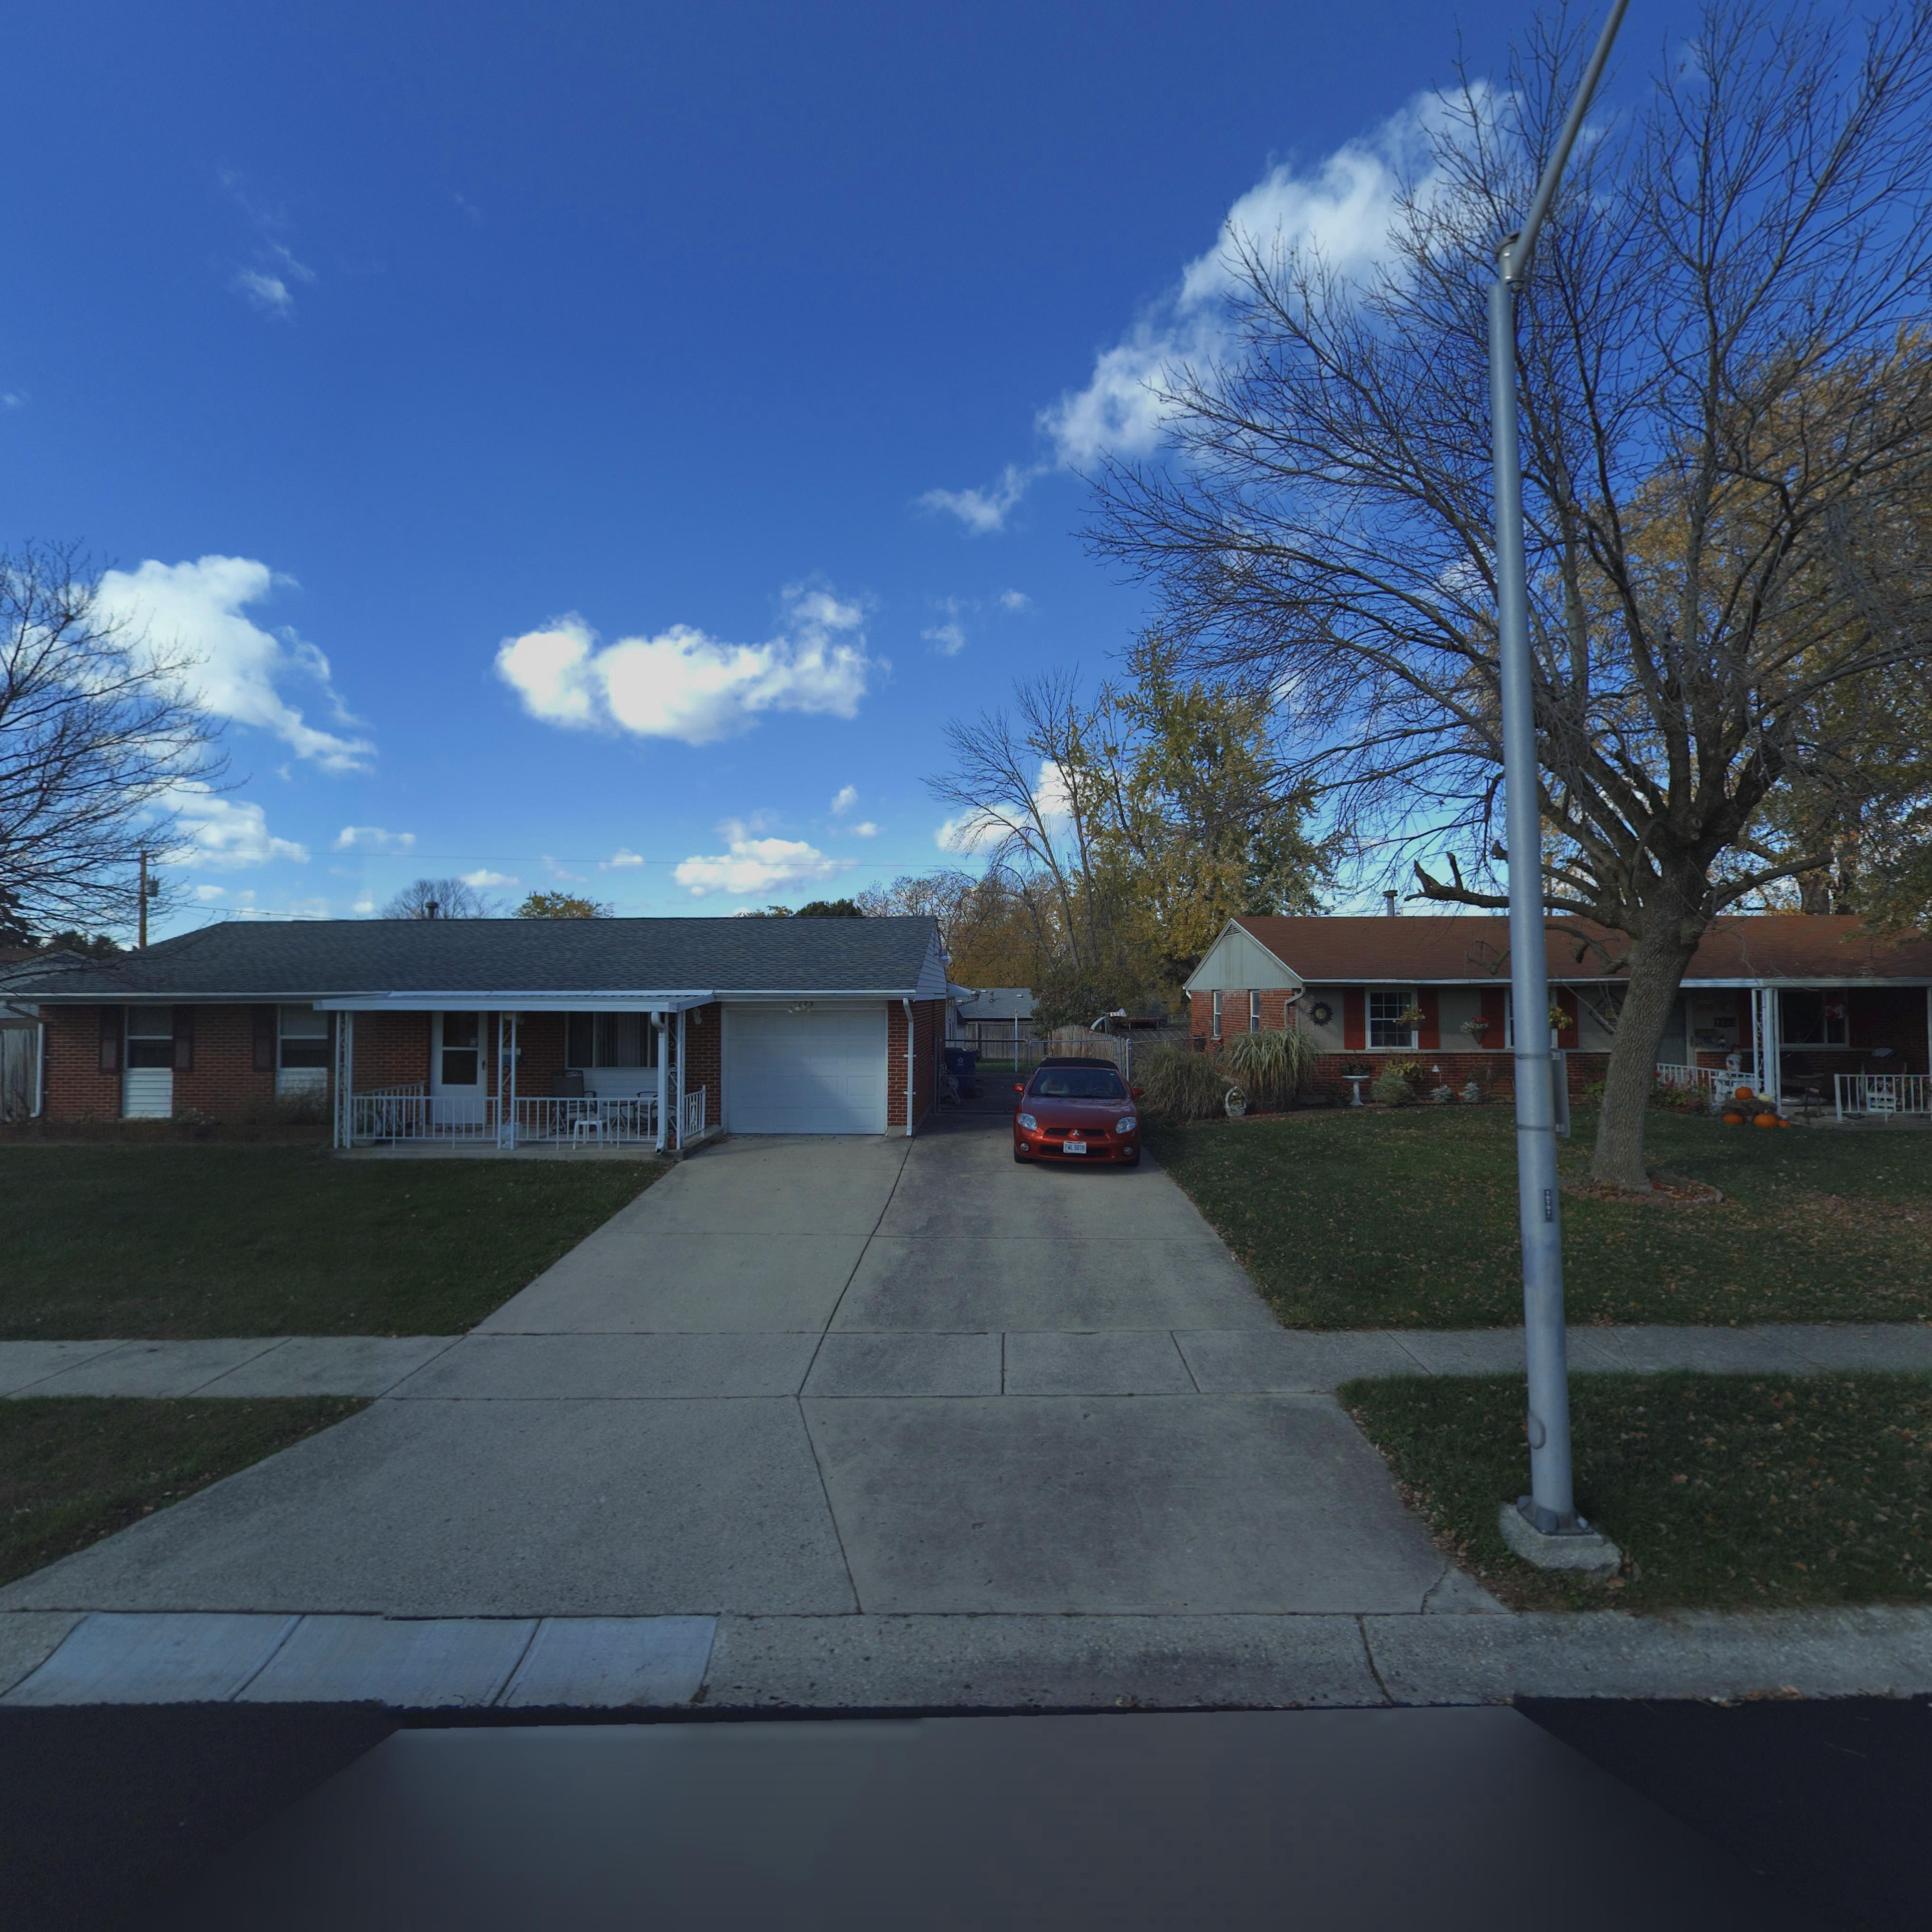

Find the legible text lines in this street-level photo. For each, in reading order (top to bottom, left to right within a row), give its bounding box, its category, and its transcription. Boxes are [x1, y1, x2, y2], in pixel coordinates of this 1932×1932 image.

[803, 1001, 813, 1006] StreetNumber: 73
[1715, 1019, 1736, 1026] StreetNumber: 7801